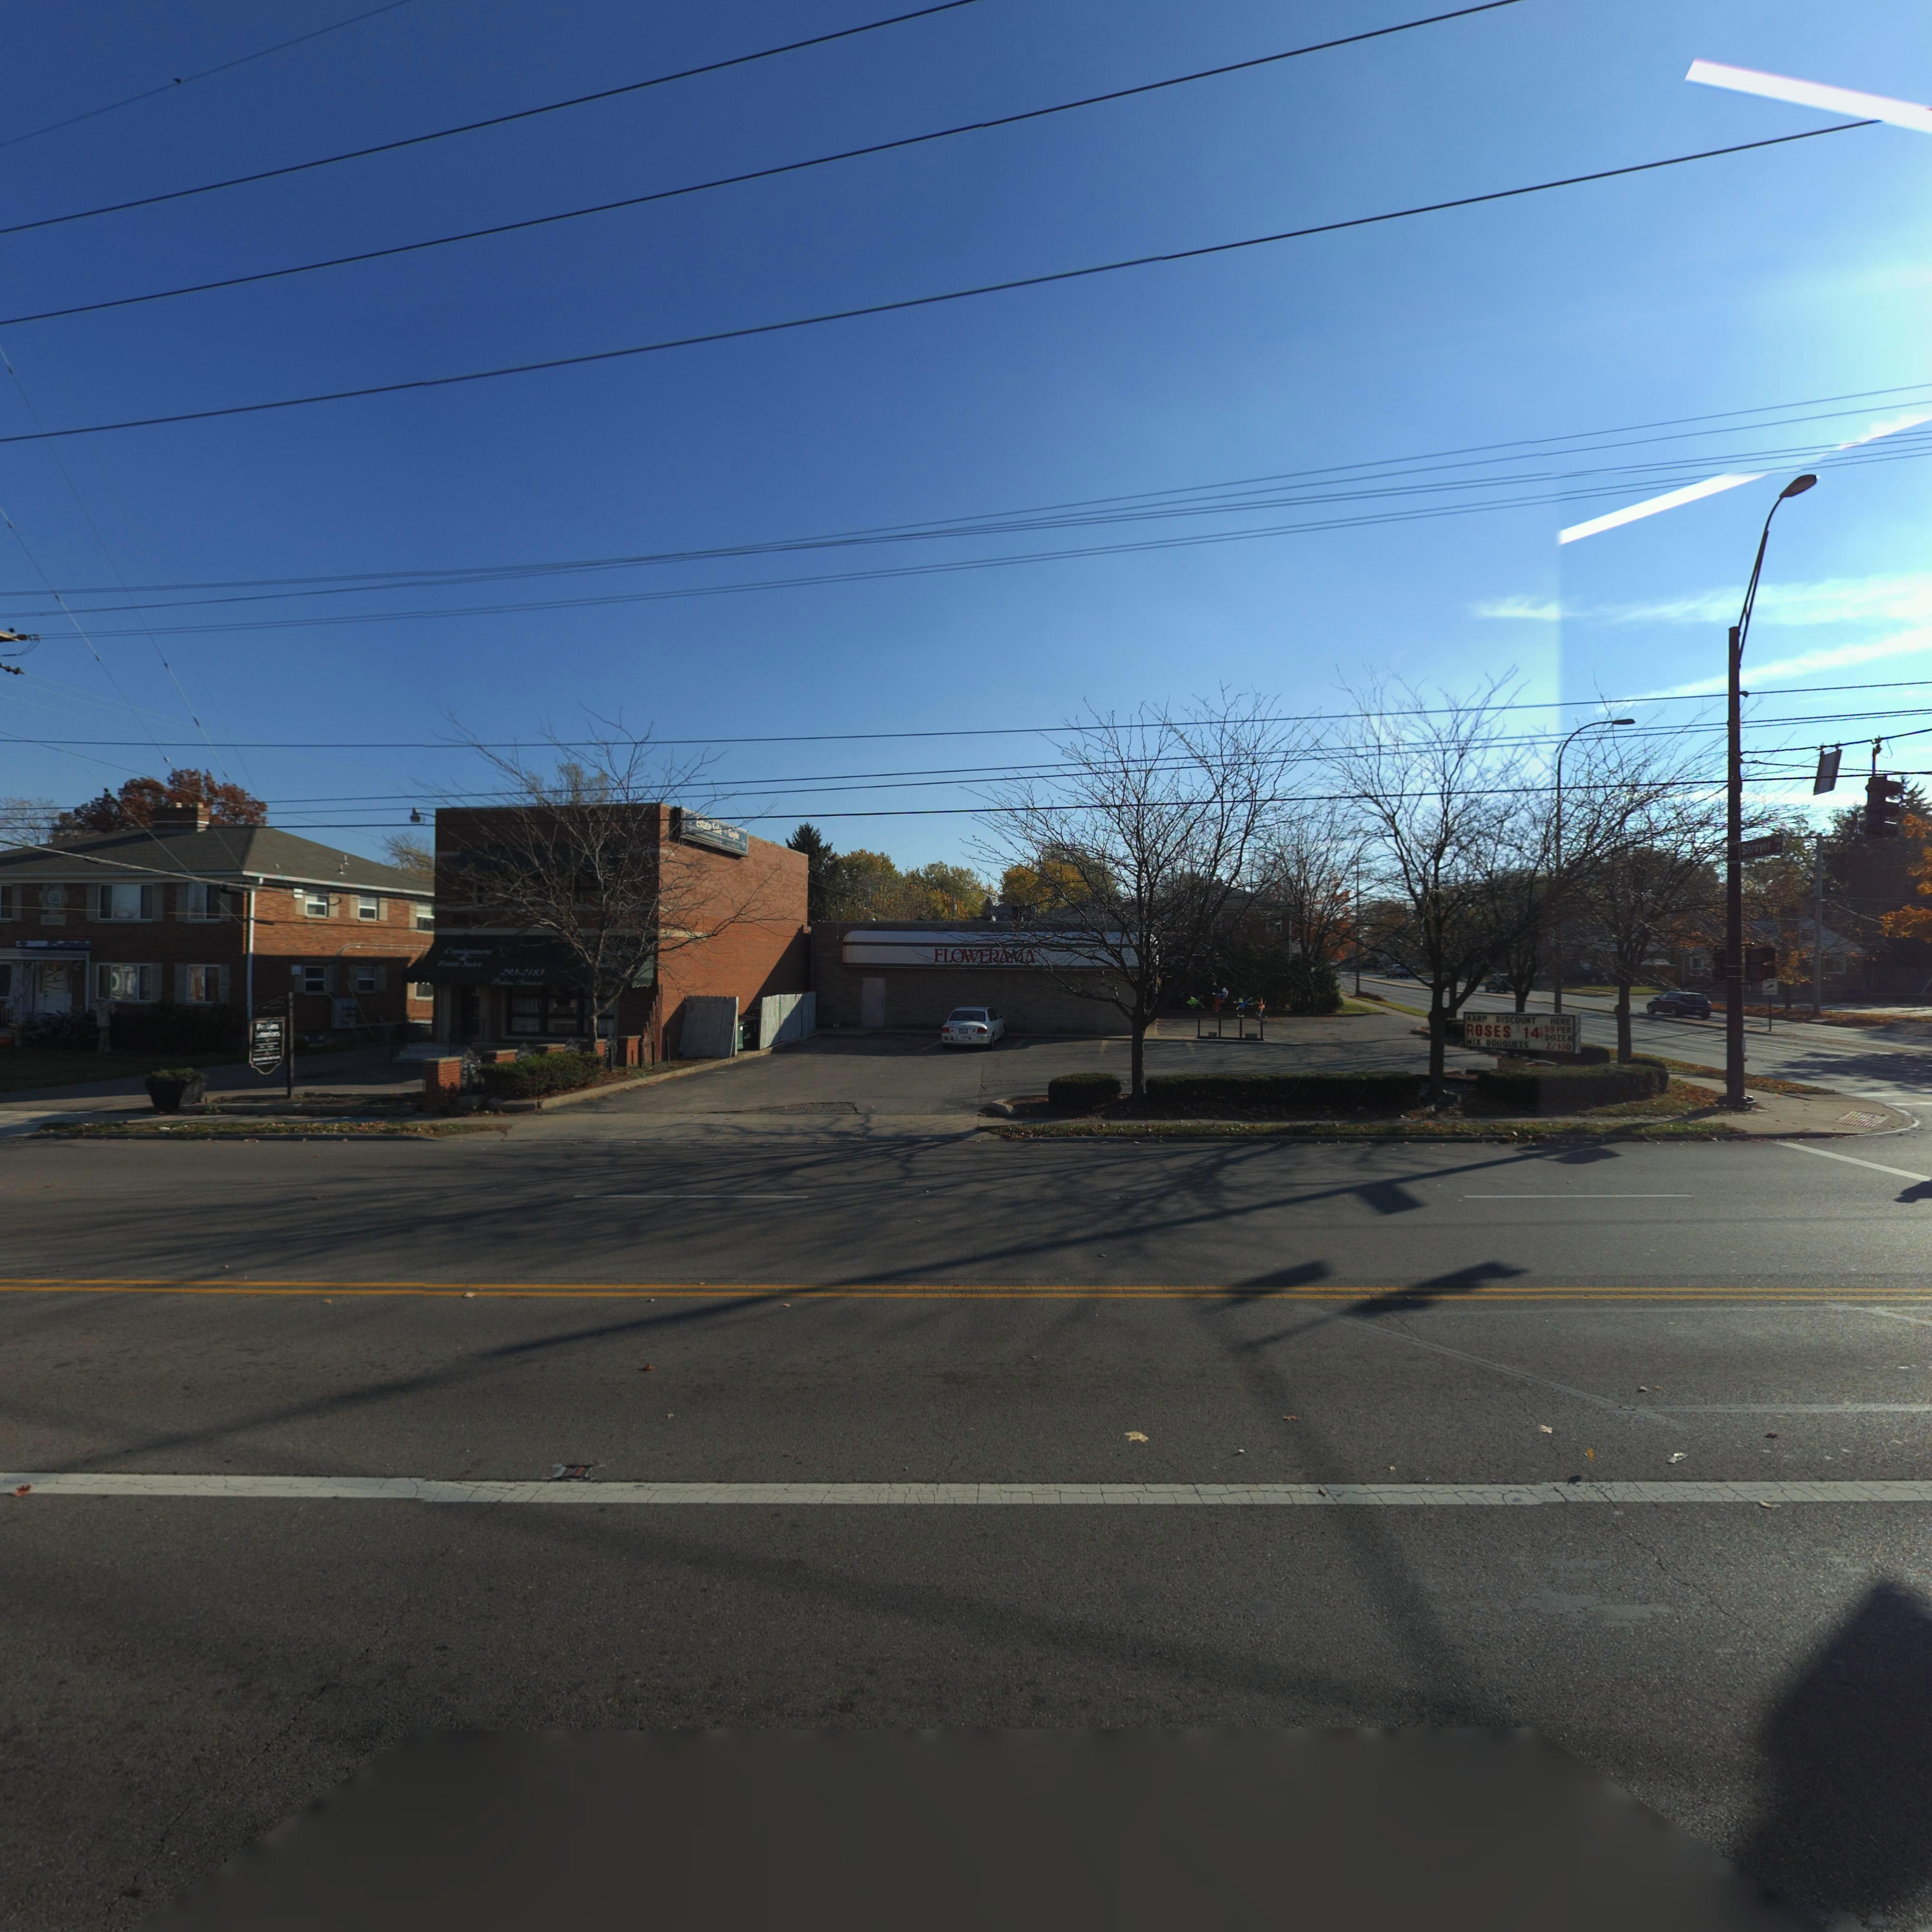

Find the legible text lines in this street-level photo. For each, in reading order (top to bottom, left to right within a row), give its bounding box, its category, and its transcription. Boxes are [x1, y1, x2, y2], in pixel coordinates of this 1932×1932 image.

[1740, 841, 1771, 856] StreetName: Shroyer
[452, 913, 480, 926] StreetNumber: 50*
[933, 948, 1000, 964] BusinessName: FLOWER